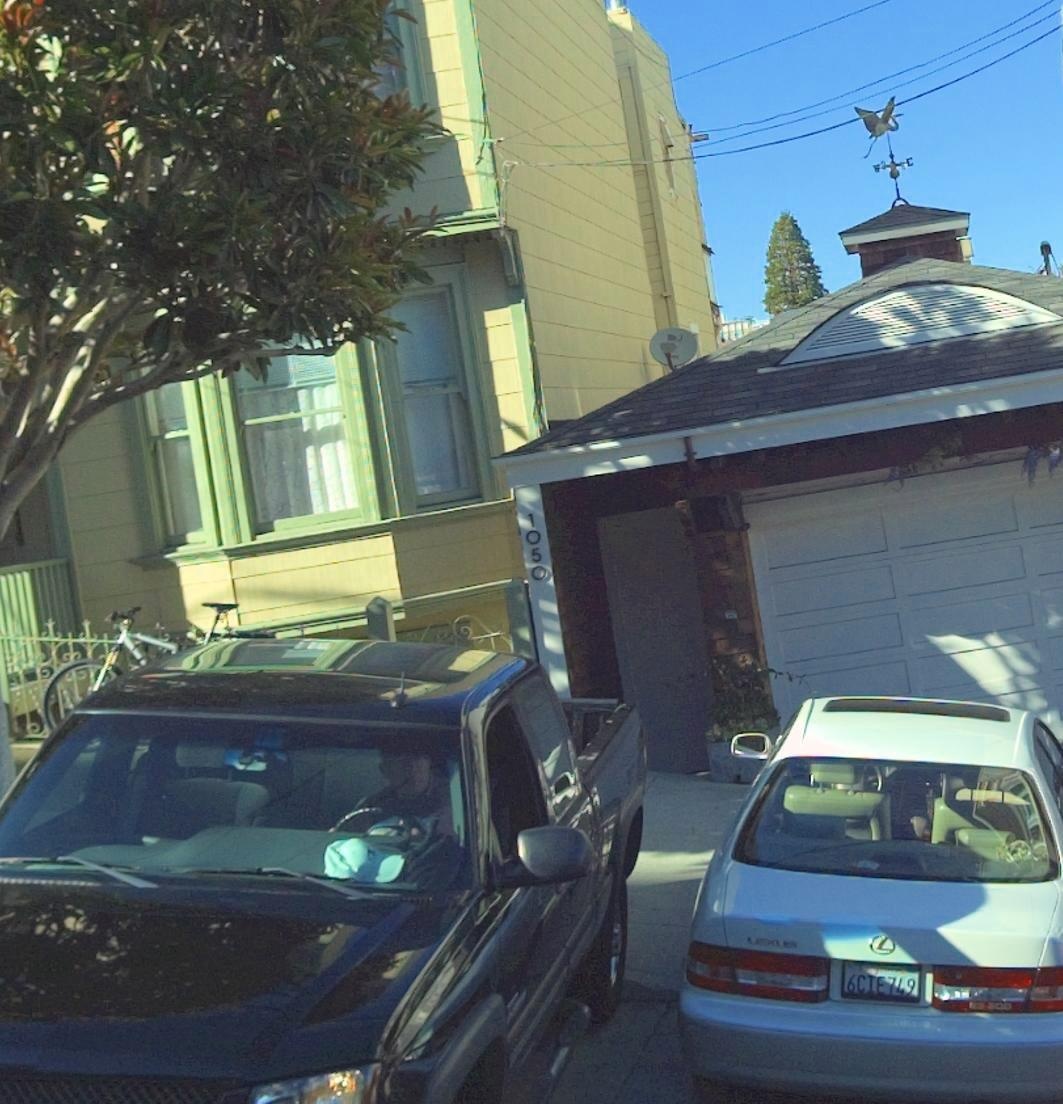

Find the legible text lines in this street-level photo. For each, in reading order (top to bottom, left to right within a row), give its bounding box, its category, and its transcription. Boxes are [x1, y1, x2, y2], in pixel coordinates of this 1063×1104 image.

[522, 511, 549, 583] StreetNumber: 1050
[844, 972, 919, 999] None: 6CIE749